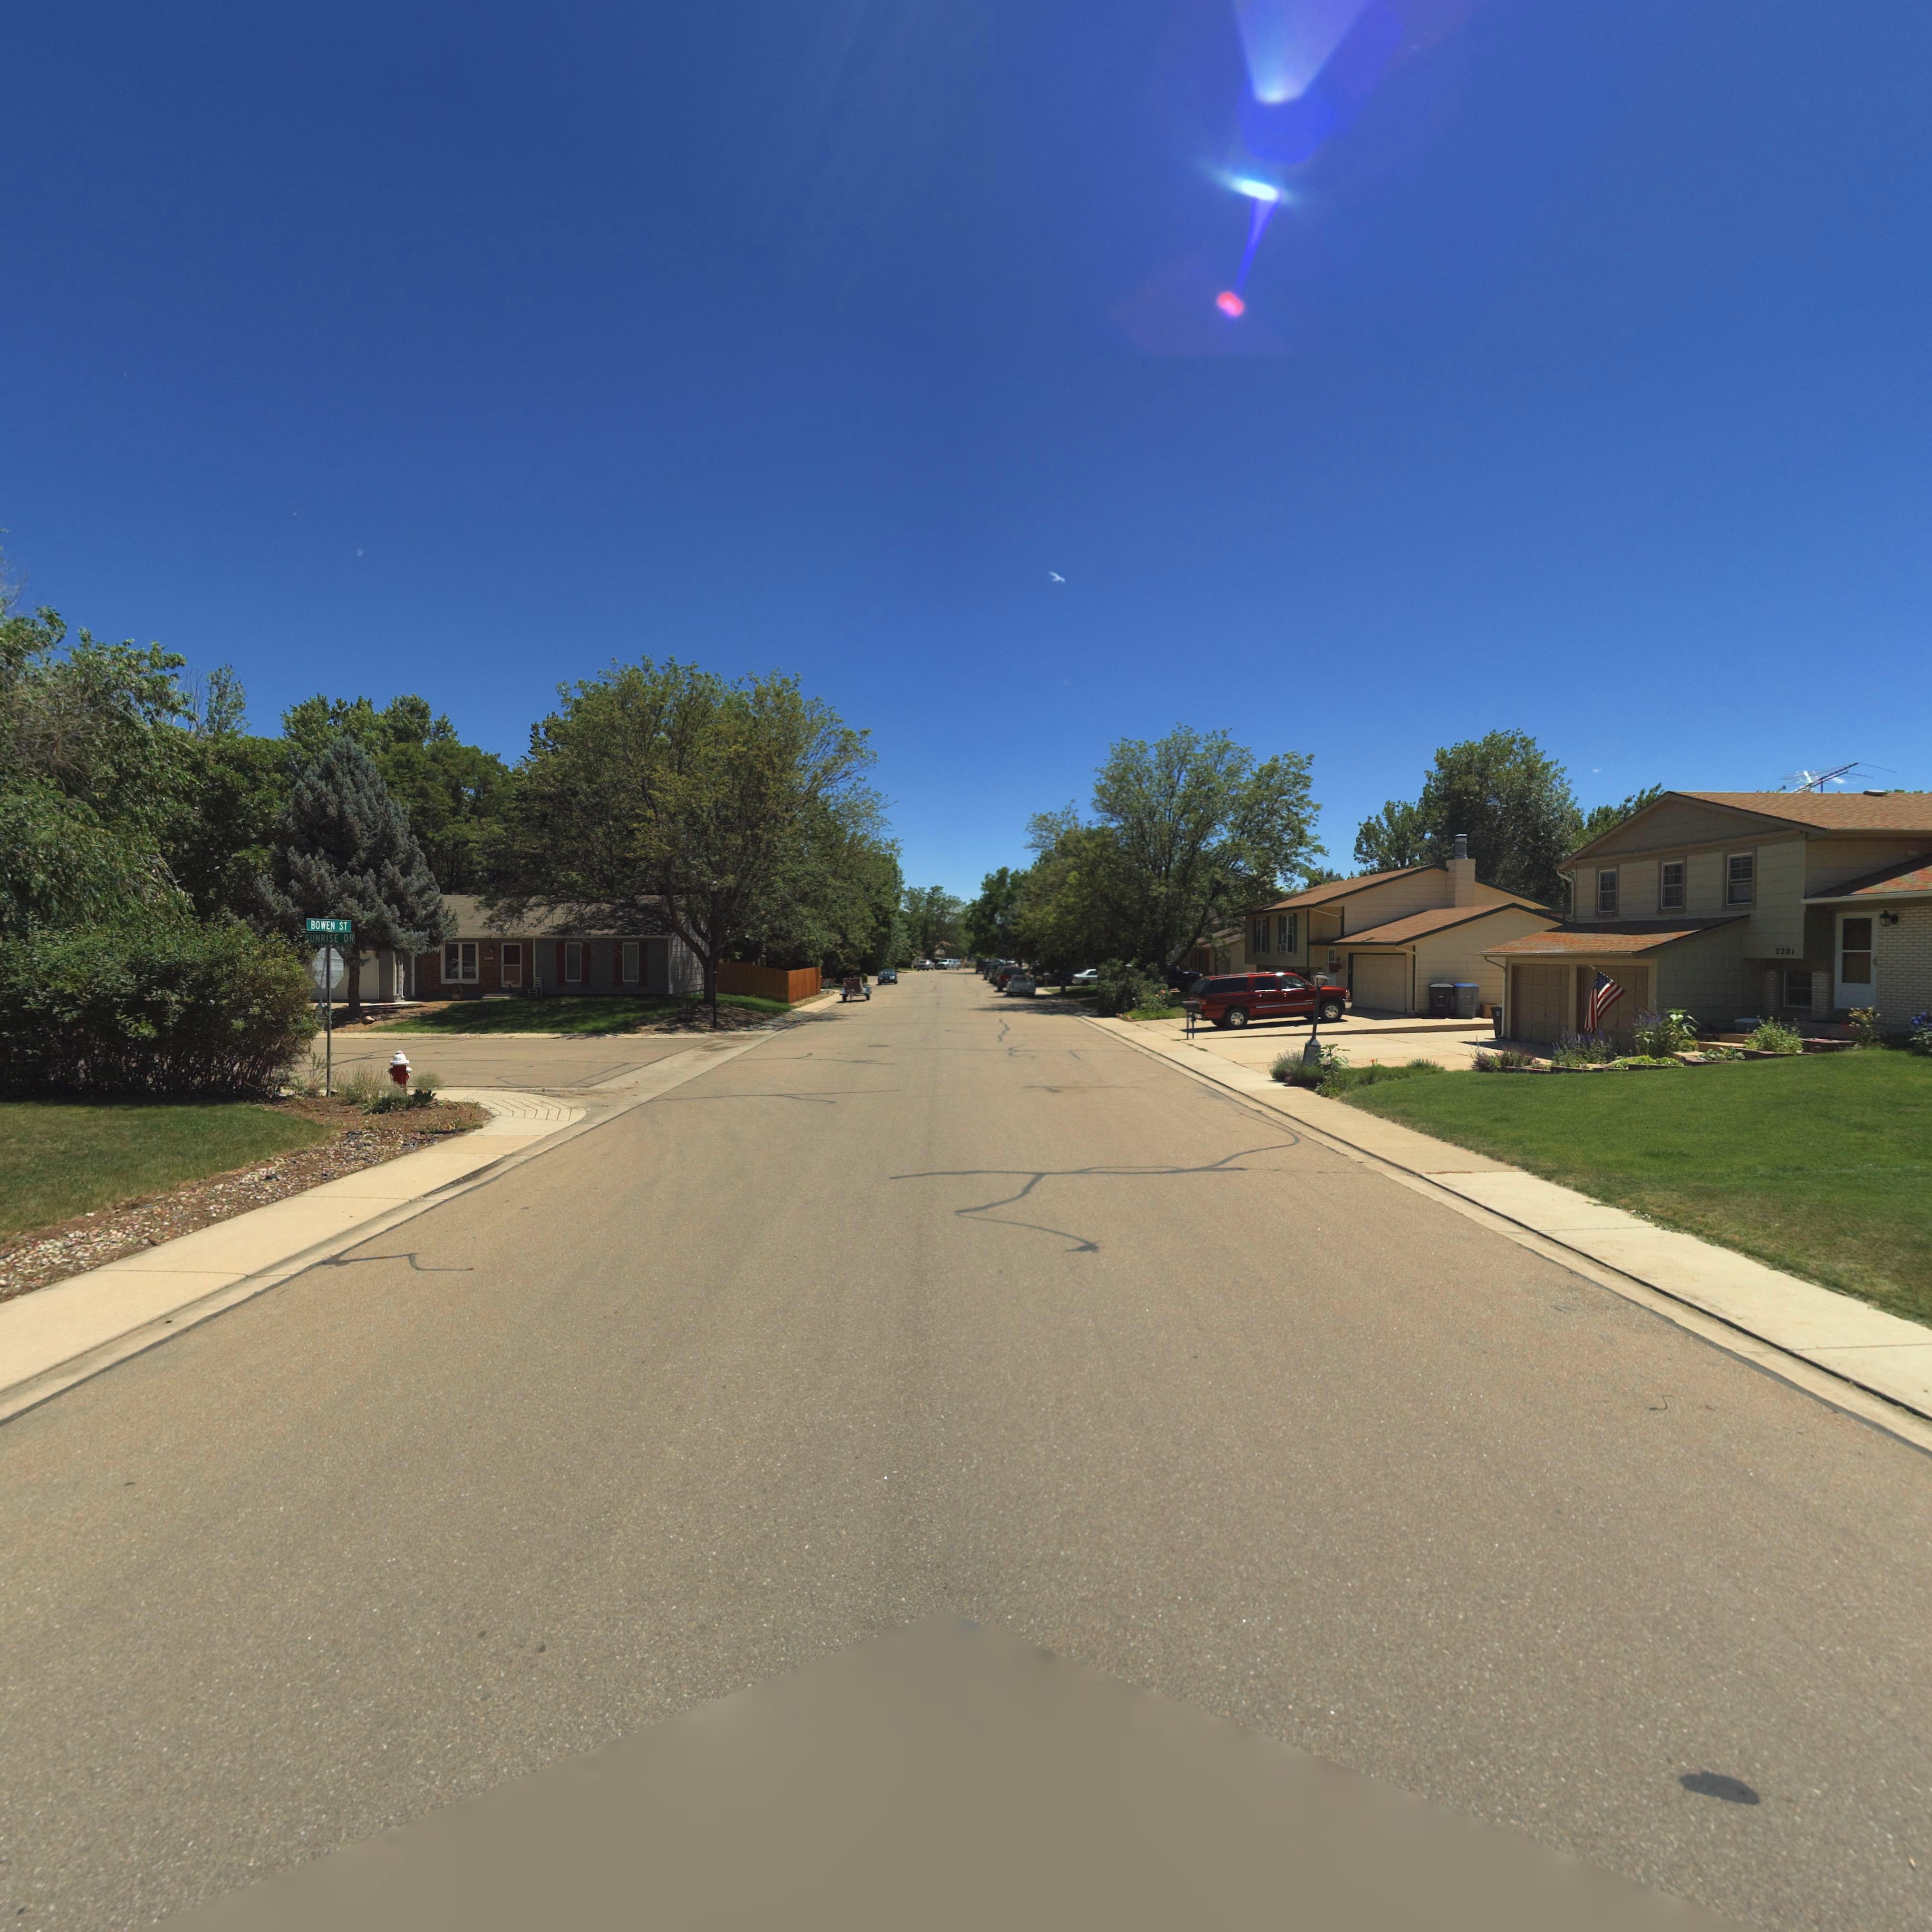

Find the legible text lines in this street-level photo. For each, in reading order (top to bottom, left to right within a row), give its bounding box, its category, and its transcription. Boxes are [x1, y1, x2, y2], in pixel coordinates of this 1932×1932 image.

[310, 920, 348, 931] StreetName: BOWEN ST
[304, 933, 354, 942] StreetName: SUNRISE DR
[1775, 947, 1794, 955] StreetNumber: 2201
[484, 956, 493, 960] StreetNumber: 22*0